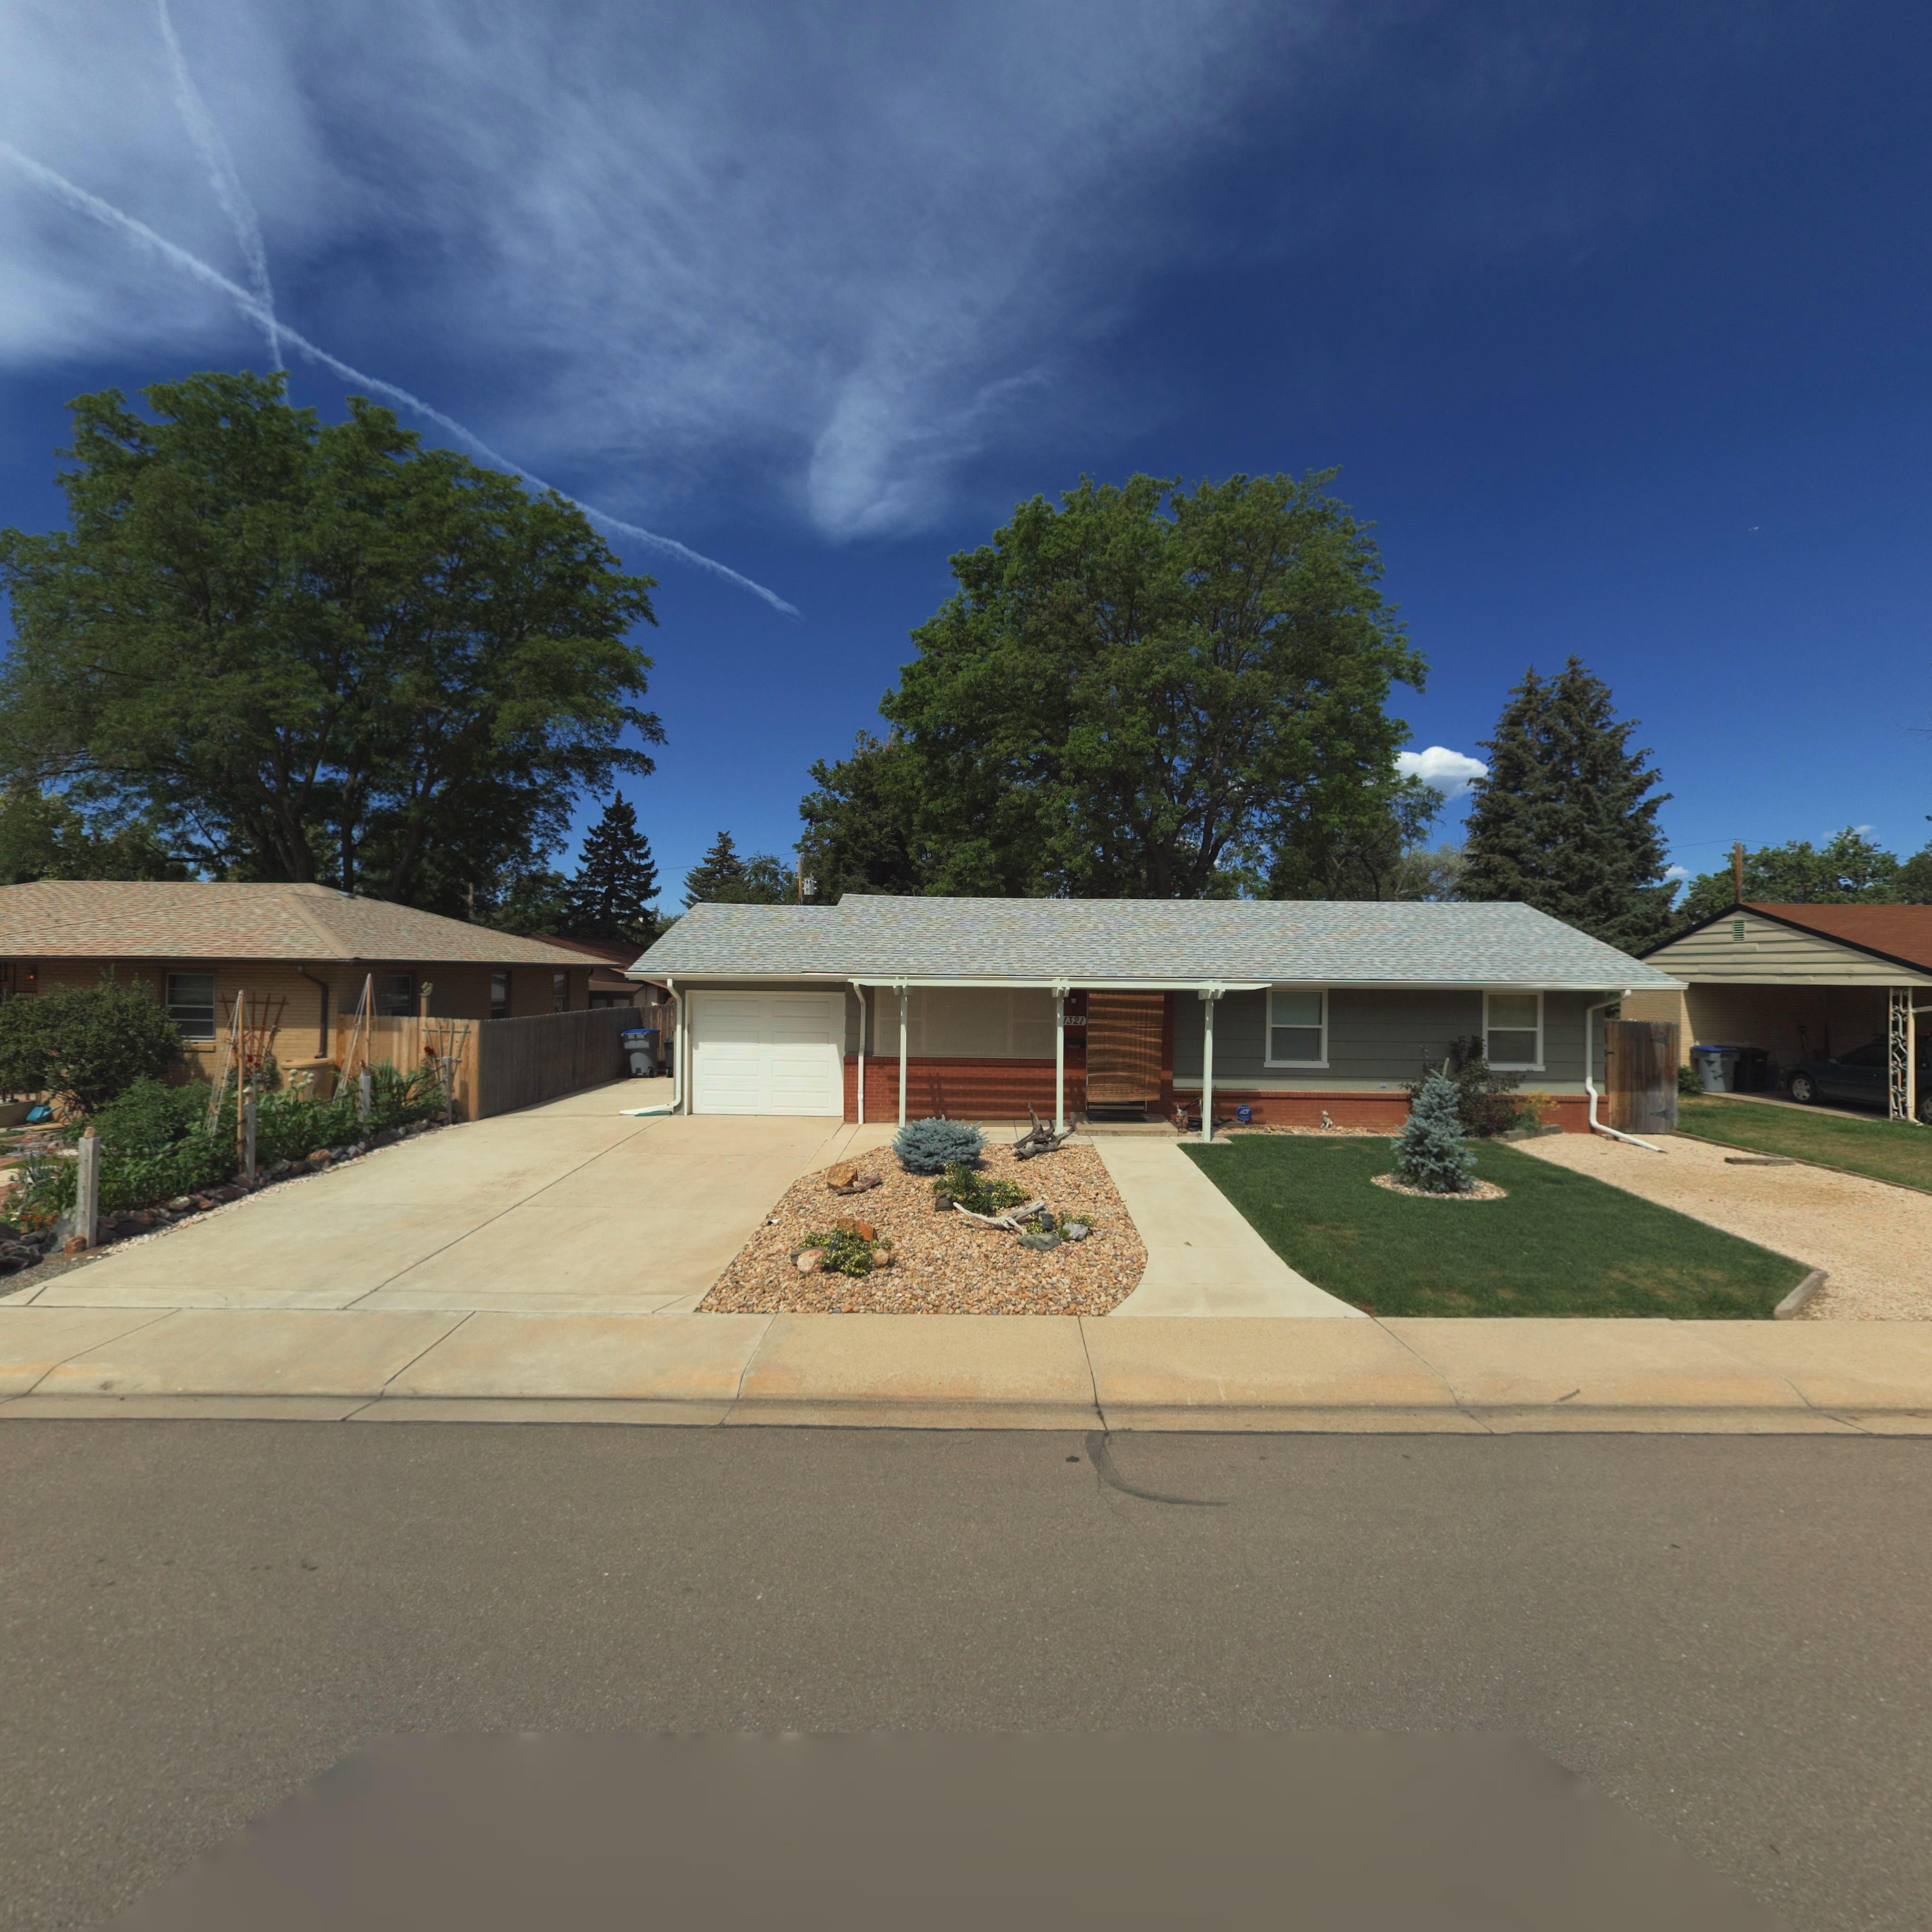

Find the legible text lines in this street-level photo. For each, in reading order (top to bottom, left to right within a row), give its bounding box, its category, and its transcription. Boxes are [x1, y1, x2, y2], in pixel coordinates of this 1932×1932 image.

[1063, 1015, 1084, 1025] StreetNumber: 1321